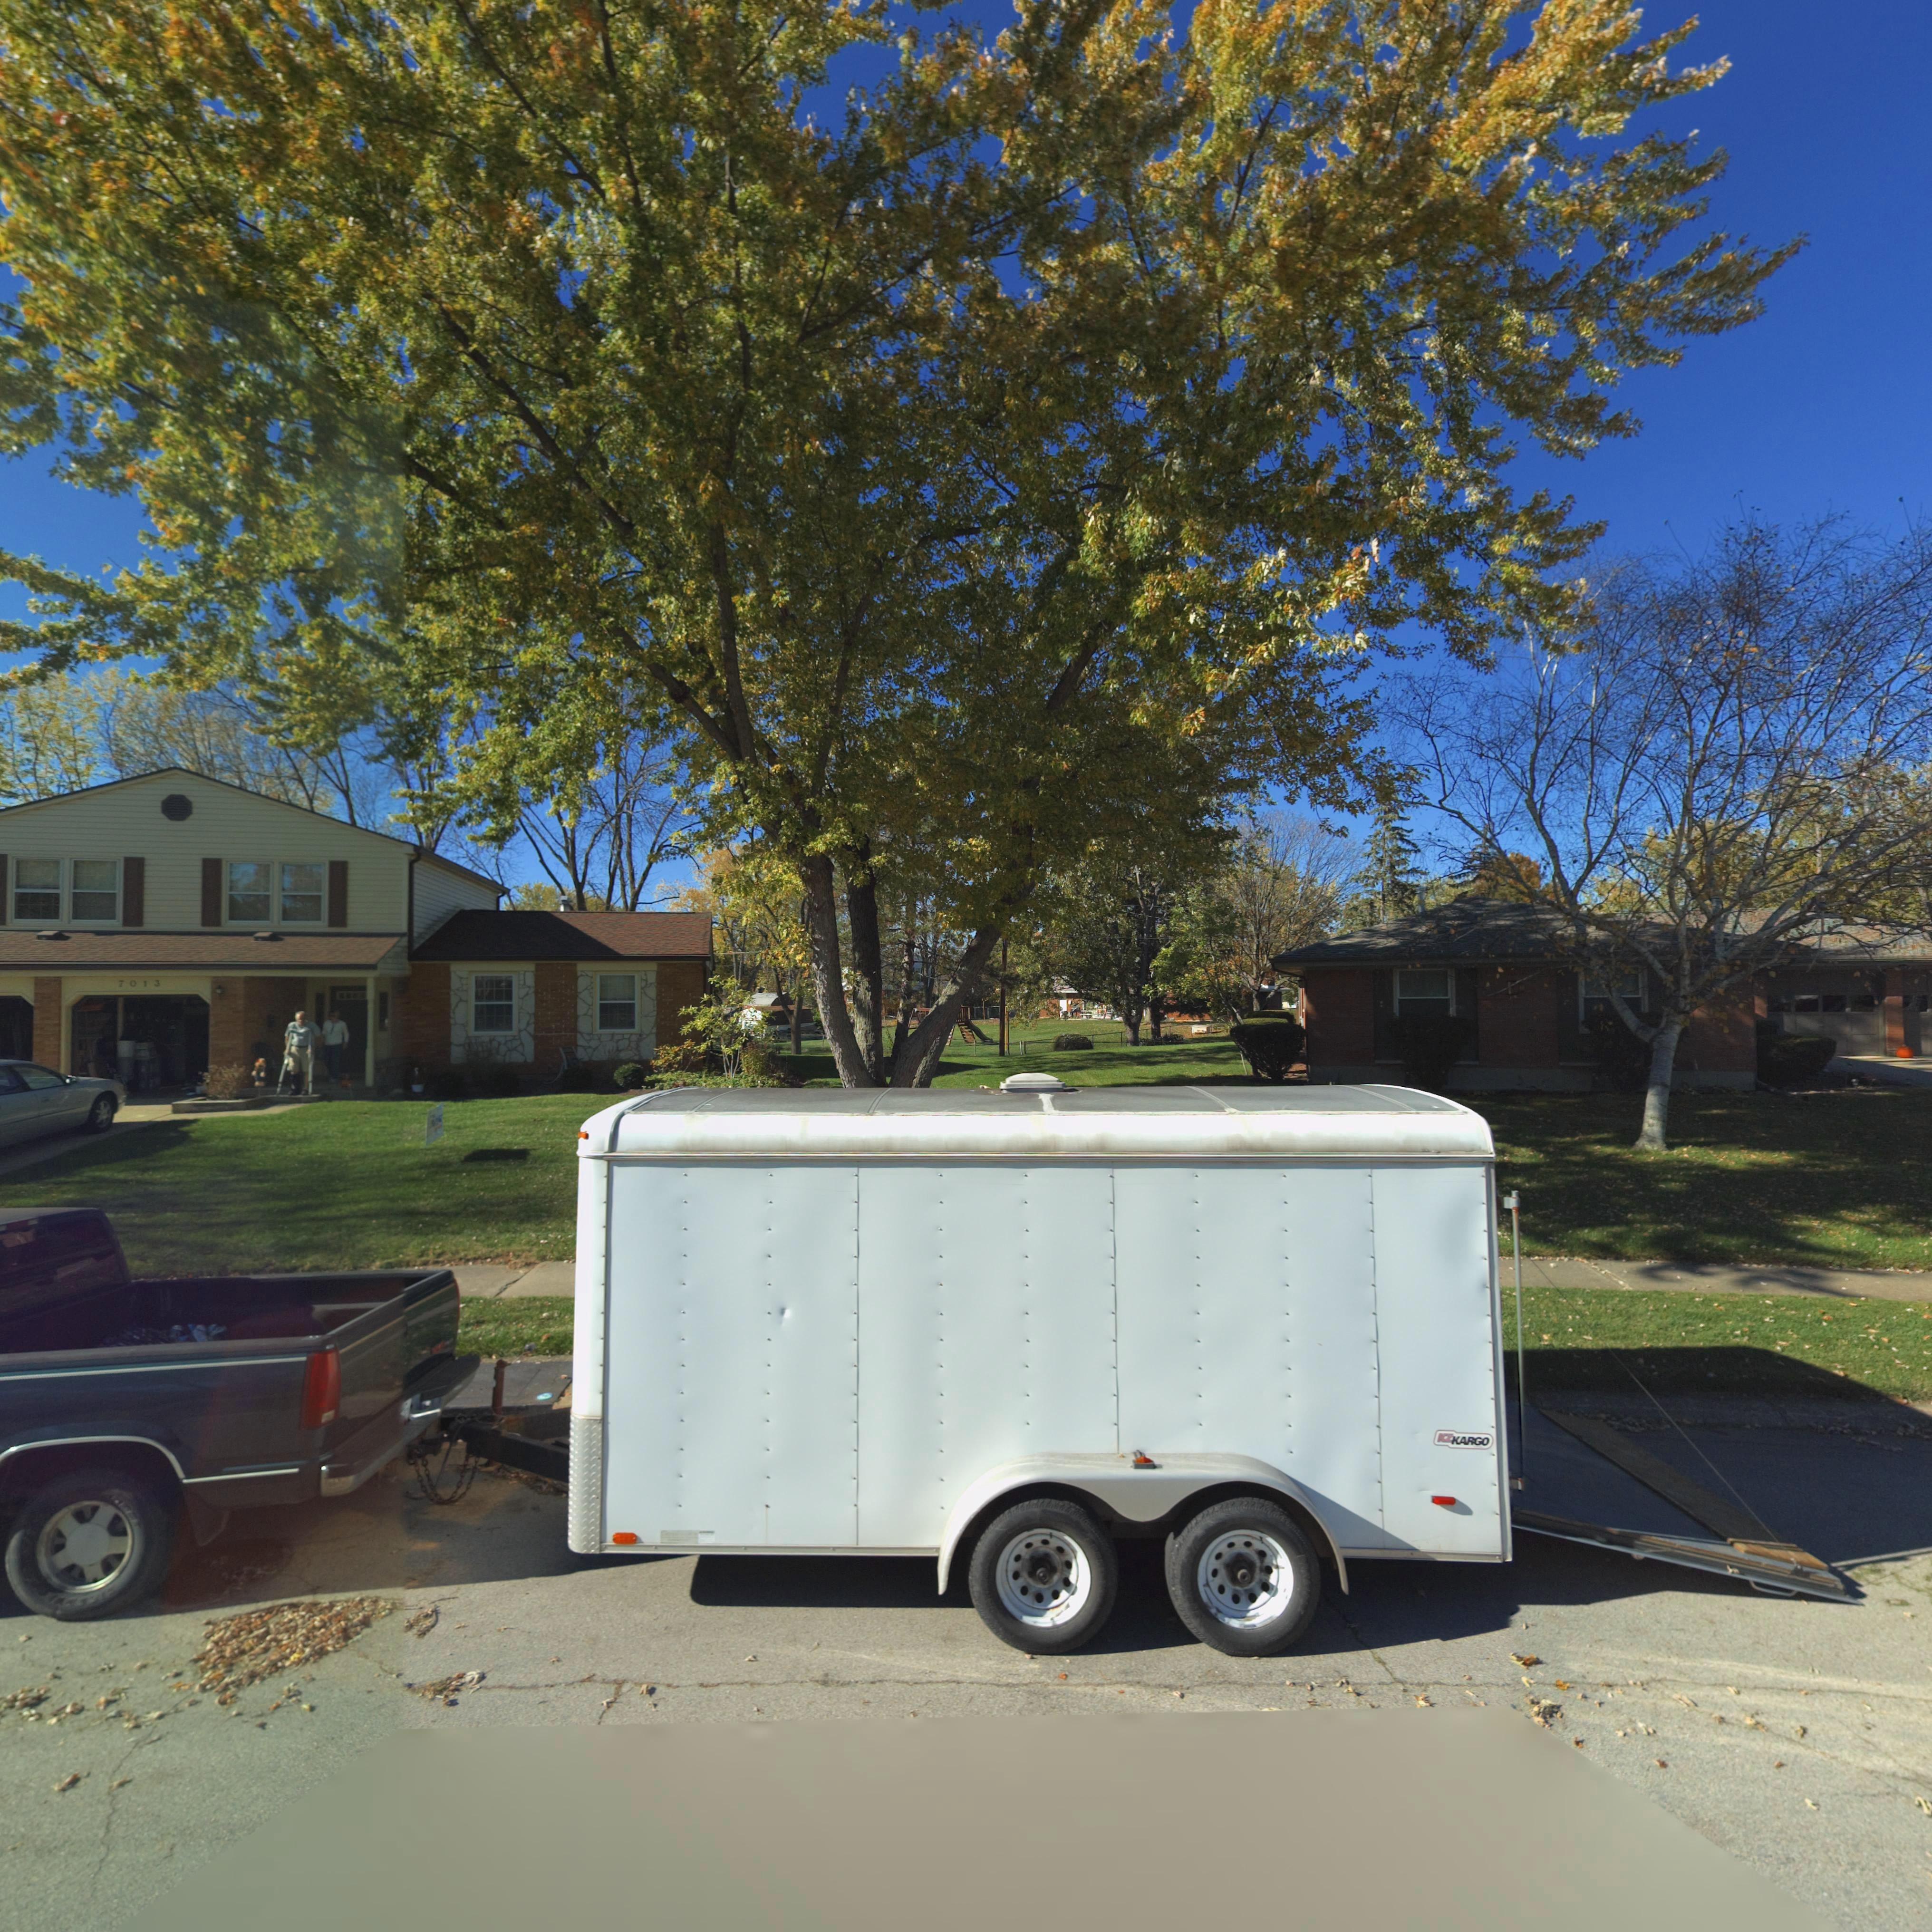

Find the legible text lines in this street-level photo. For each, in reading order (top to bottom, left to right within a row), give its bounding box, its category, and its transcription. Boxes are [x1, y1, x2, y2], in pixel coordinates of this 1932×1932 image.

[117, 979, 162, 988] StreetNumber: 7013